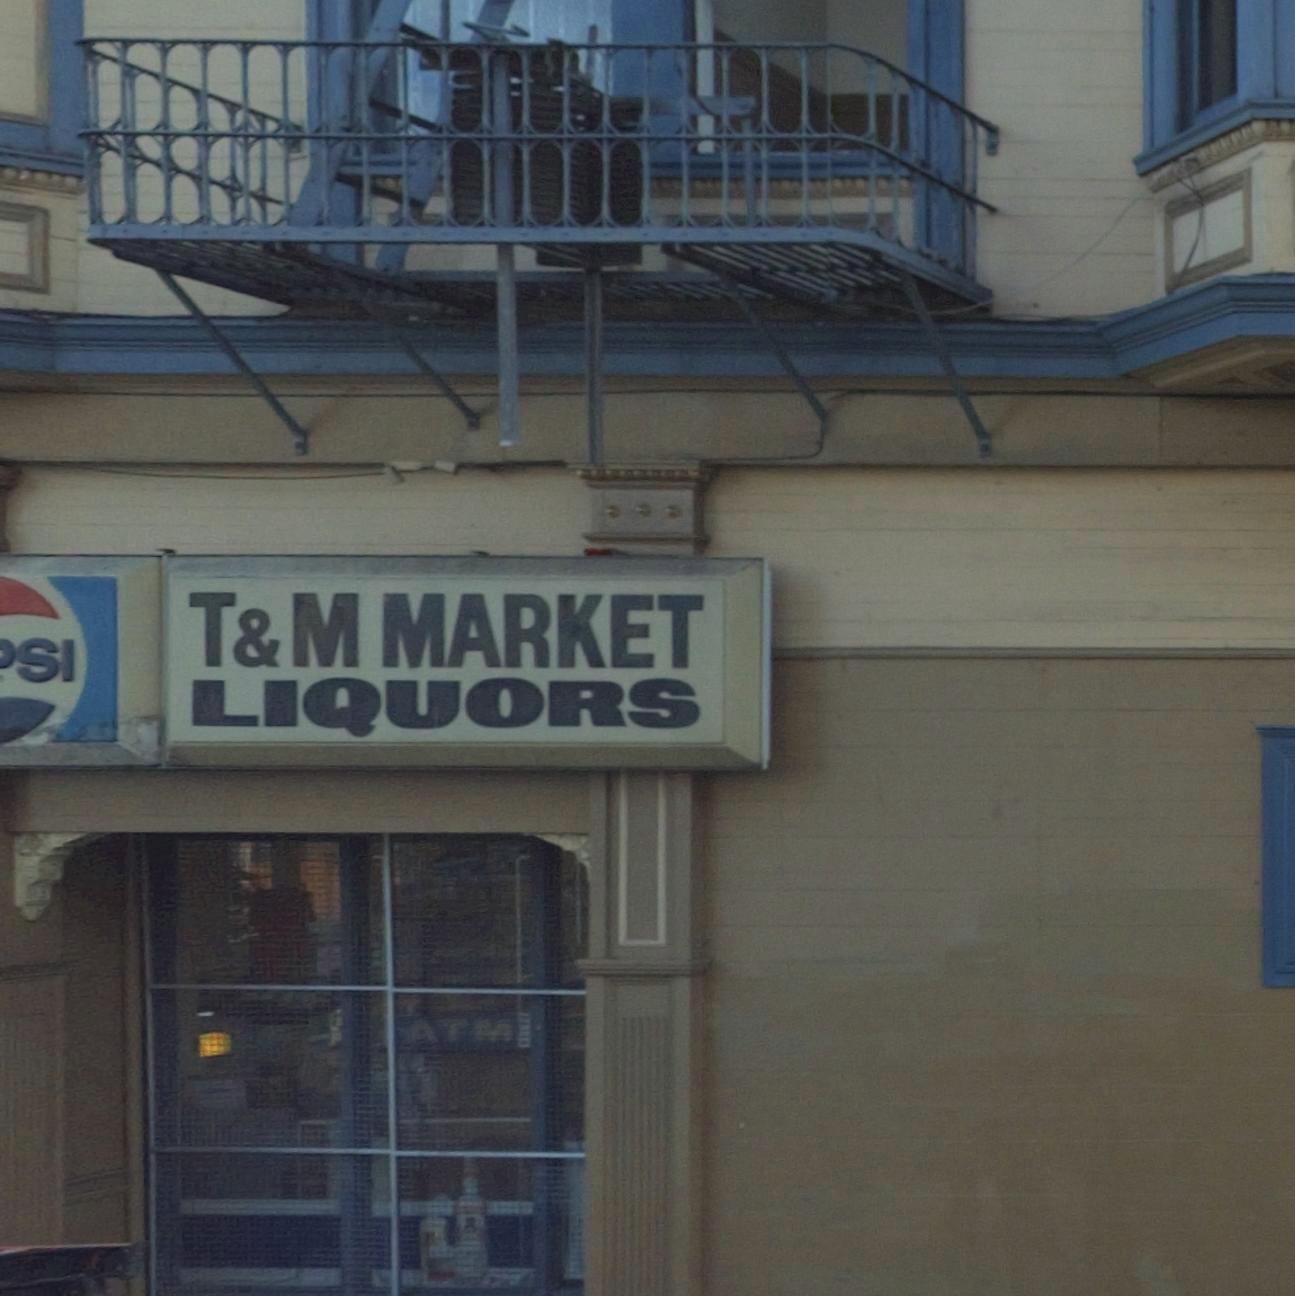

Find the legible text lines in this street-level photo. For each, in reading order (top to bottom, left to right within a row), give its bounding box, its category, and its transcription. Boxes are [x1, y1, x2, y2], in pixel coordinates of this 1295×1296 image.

[11, 633, 81, 687] None: SI
[183, 586, 711, 673] BusinessName: T&M MARKET
[182, 671, 710, 745] BusinessName: LIQUORS
[394, 1010, 516, 1050] None: ATM